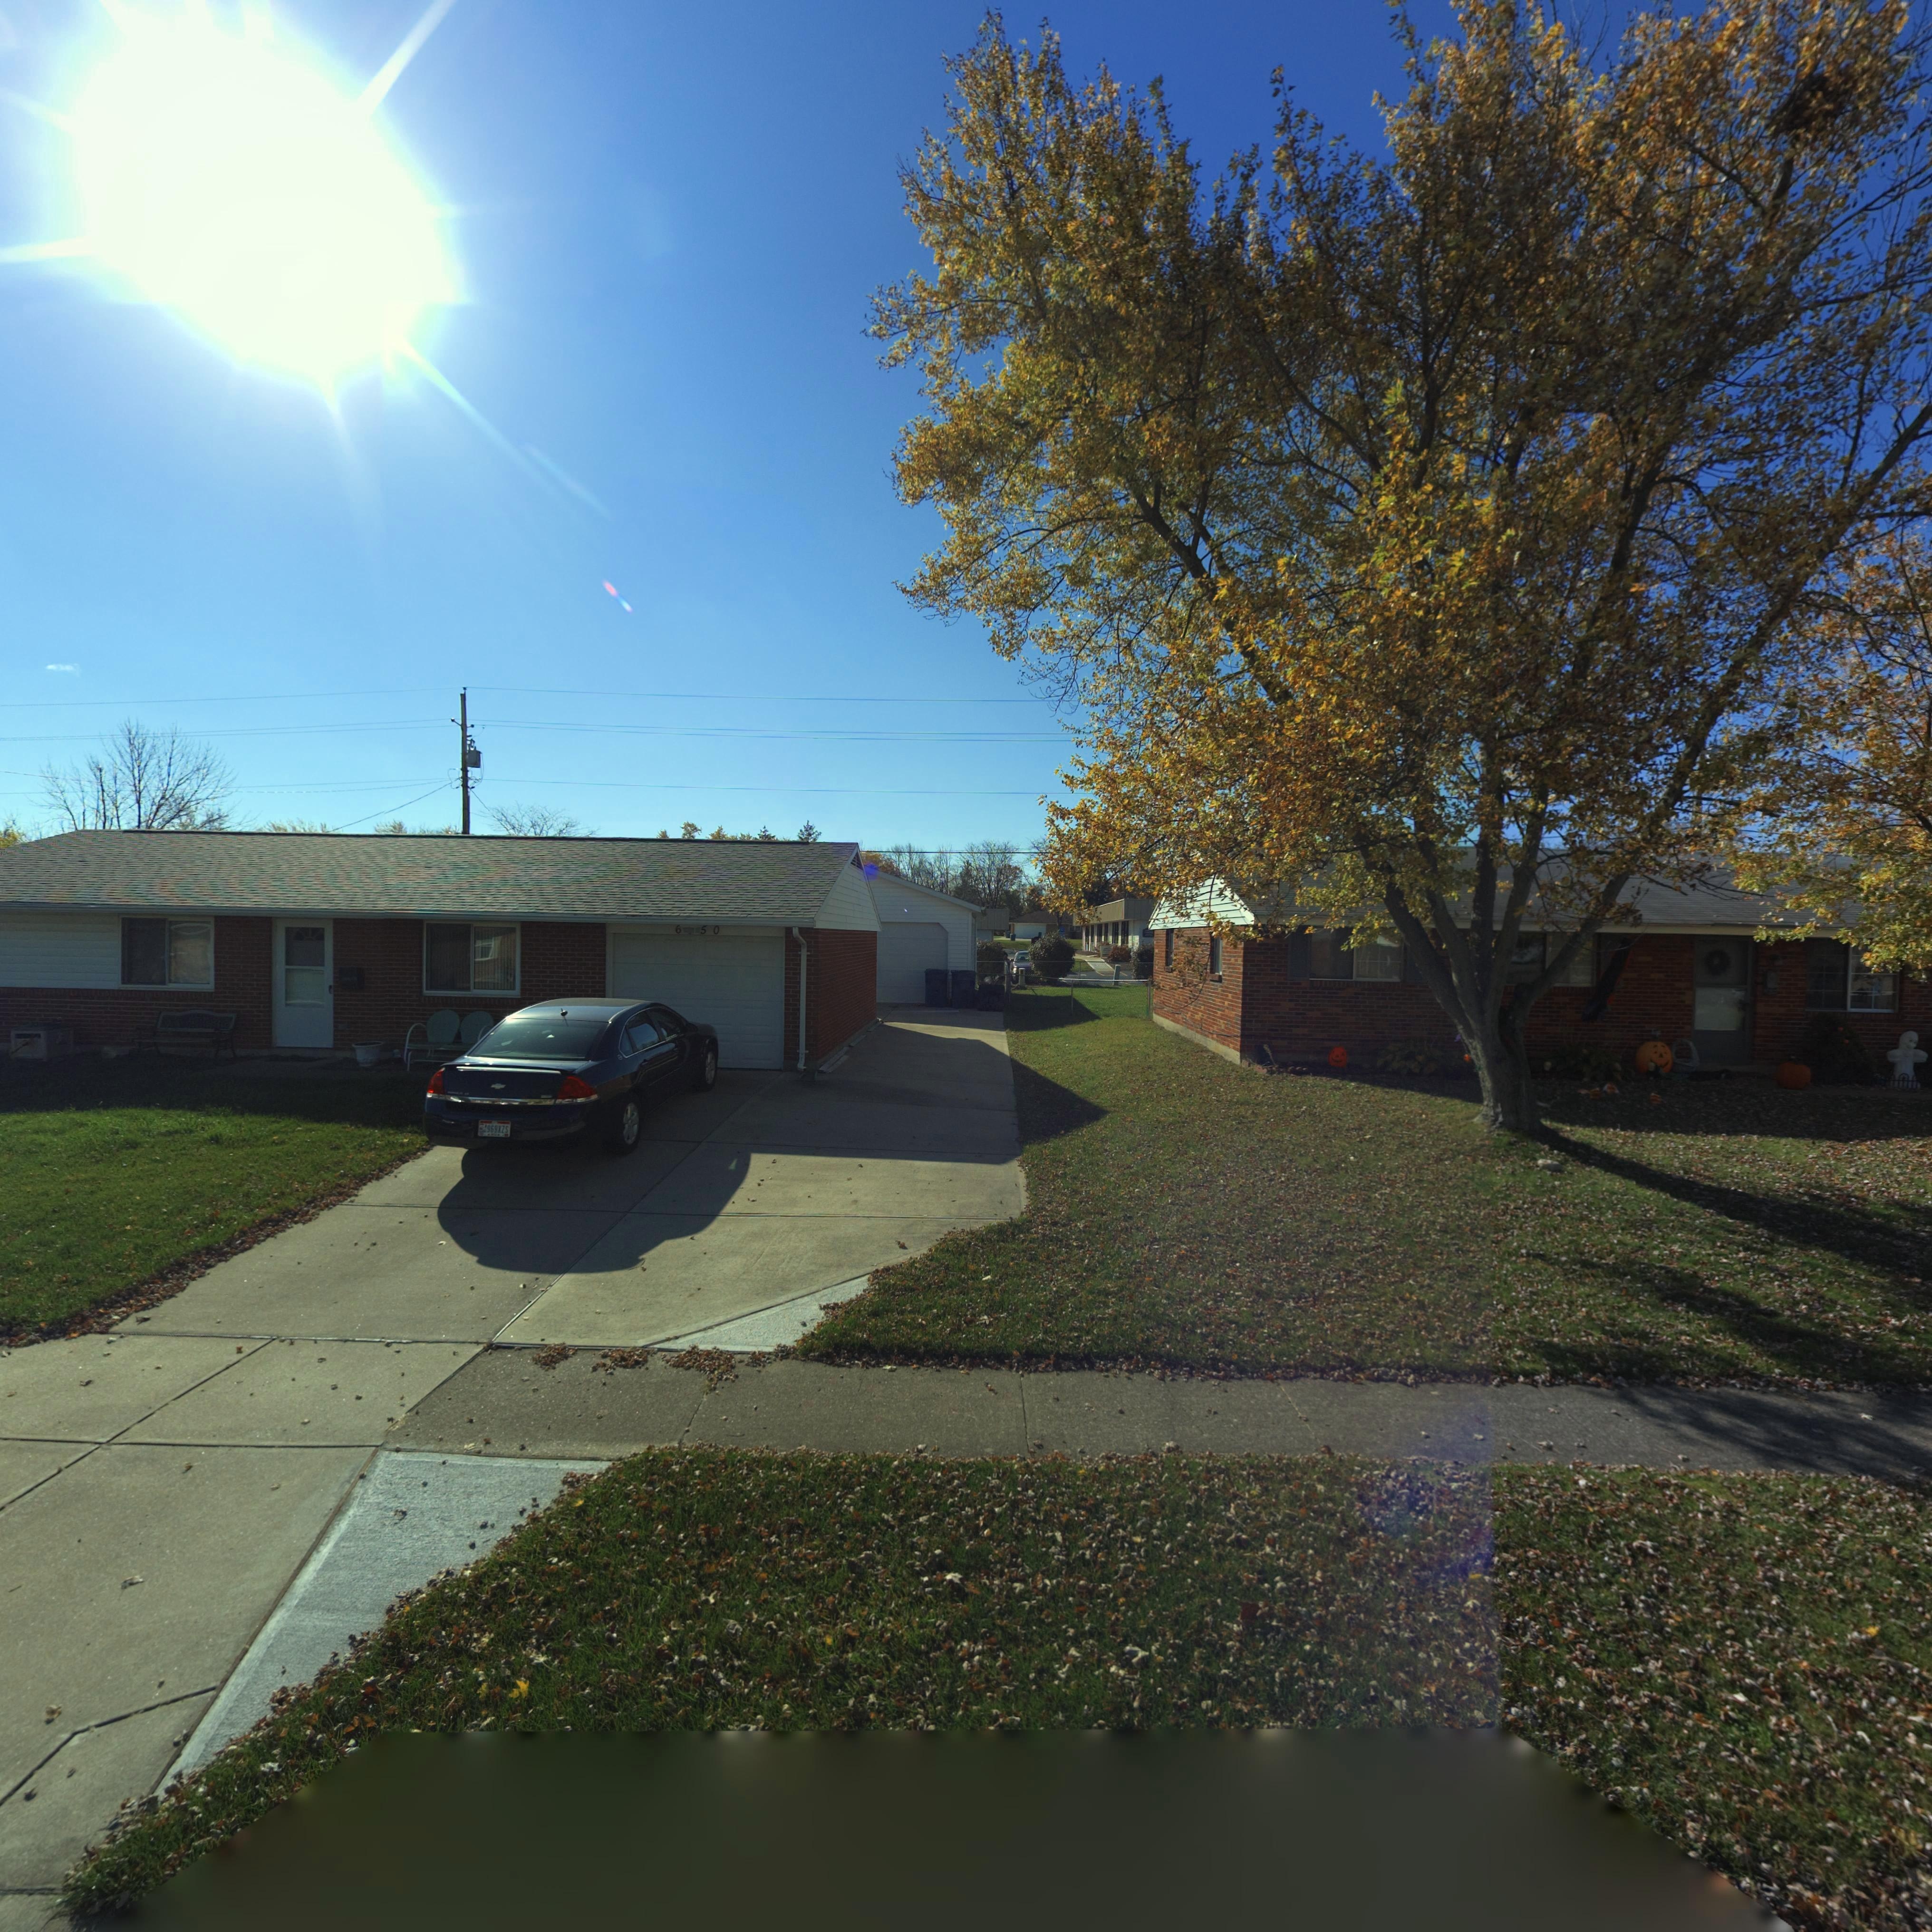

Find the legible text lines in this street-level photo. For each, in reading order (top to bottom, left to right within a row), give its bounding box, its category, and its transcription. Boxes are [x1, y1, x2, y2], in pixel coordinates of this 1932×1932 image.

[674, 925, 721, 935] StreetNumber: 6*50